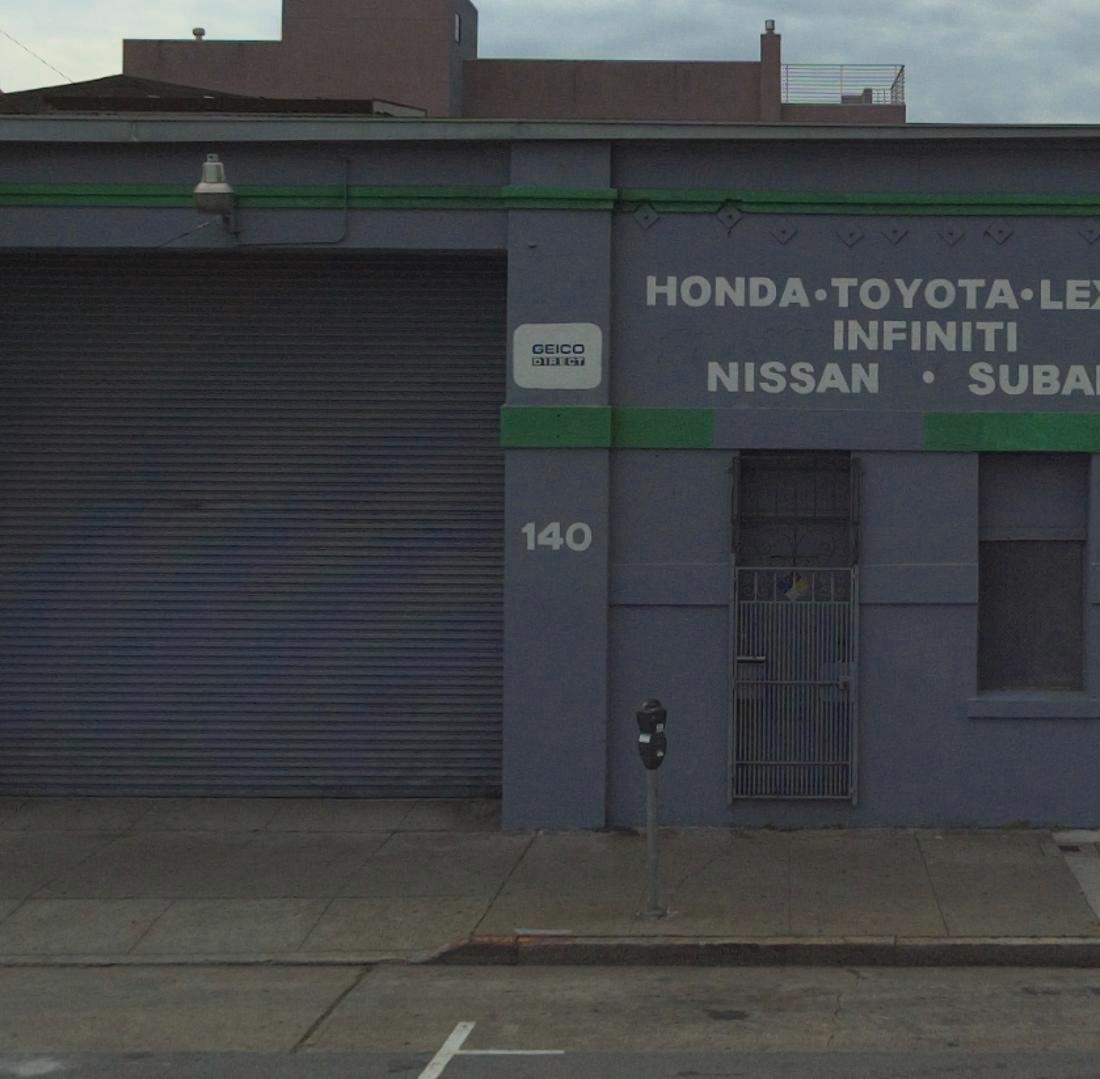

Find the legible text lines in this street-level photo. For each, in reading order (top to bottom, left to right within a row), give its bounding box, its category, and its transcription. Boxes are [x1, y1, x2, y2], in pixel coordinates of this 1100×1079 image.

[642, 271, 1095, 313] None: HONDA * TOYOTA * LE
[530, 342, 587, 356] None: GEICO
[532, 356, 585, 367] None: DIRECT
[705, 358, 1098, 400] None: NISSAN * SUBA
[830, 316, 1023, 355] None: INFINITI
[519, 520, 593, 553] StreetNumber: 140